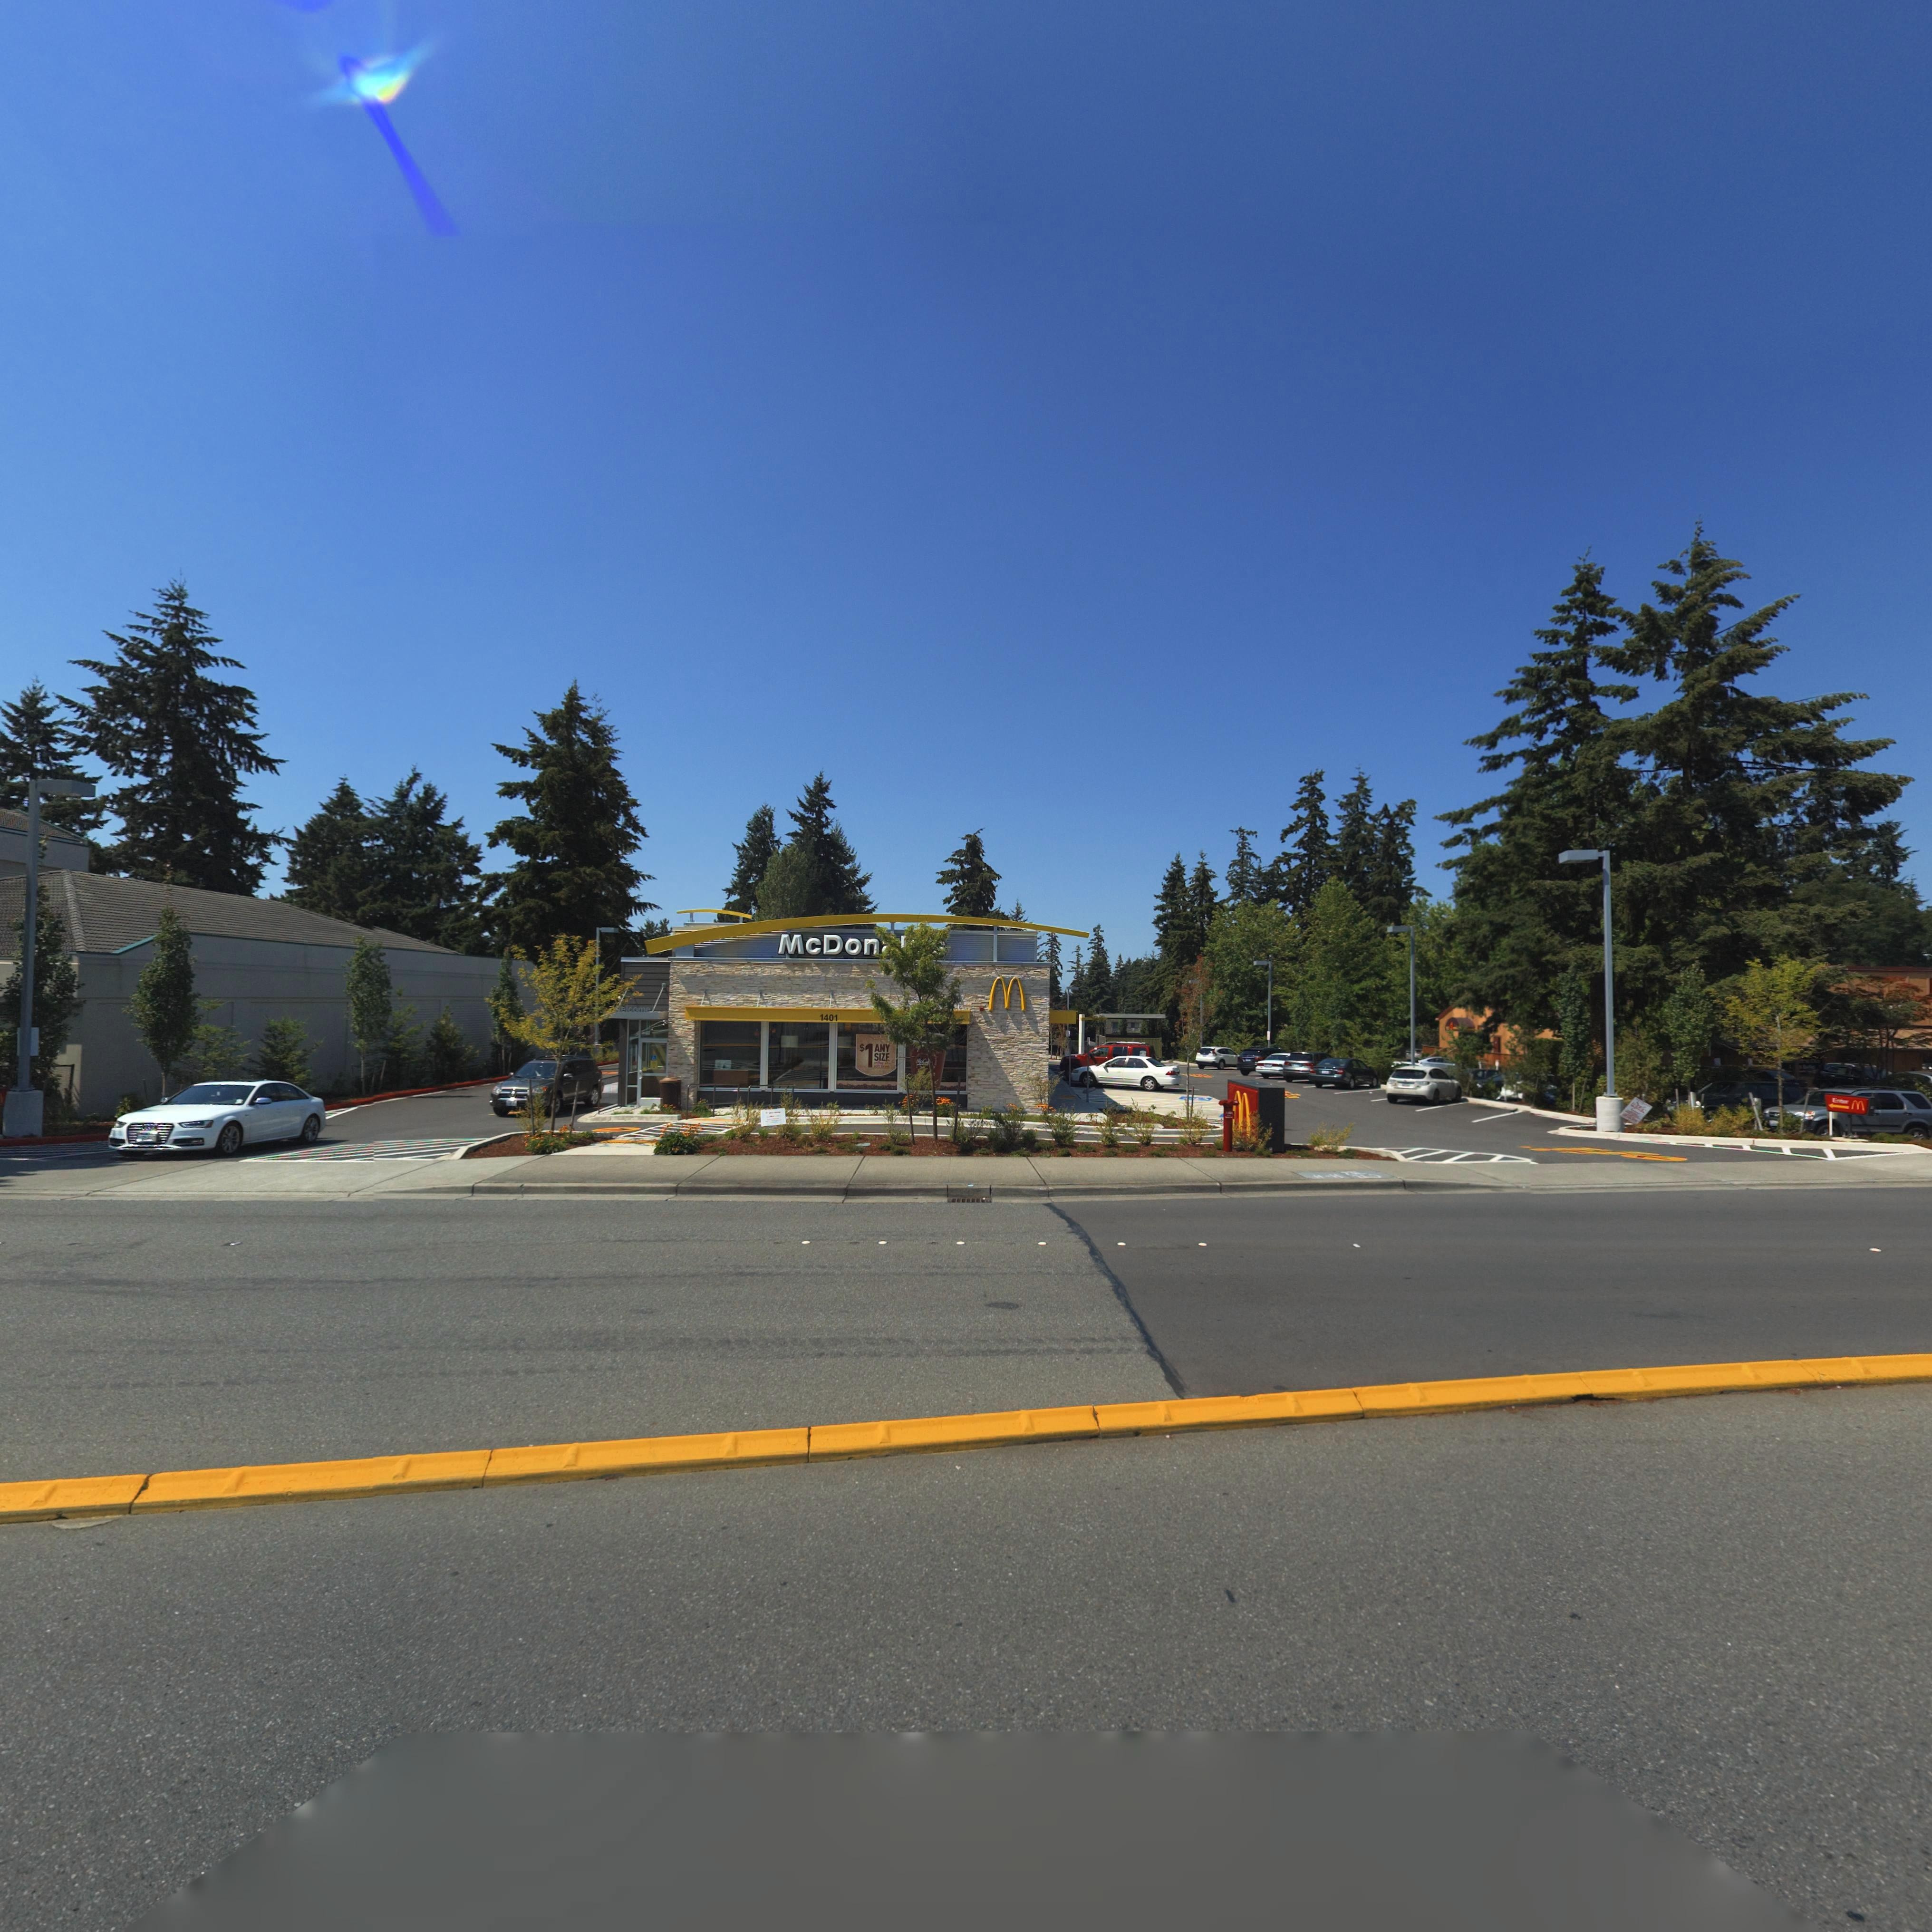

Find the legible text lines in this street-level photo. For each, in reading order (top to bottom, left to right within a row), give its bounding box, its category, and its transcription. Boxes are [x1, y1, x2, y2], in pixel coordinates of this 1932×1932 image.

[777, 933, 880, 956] BusinessName: McDon
[820, 1013, 838, 1022] StreetNumber: 1401